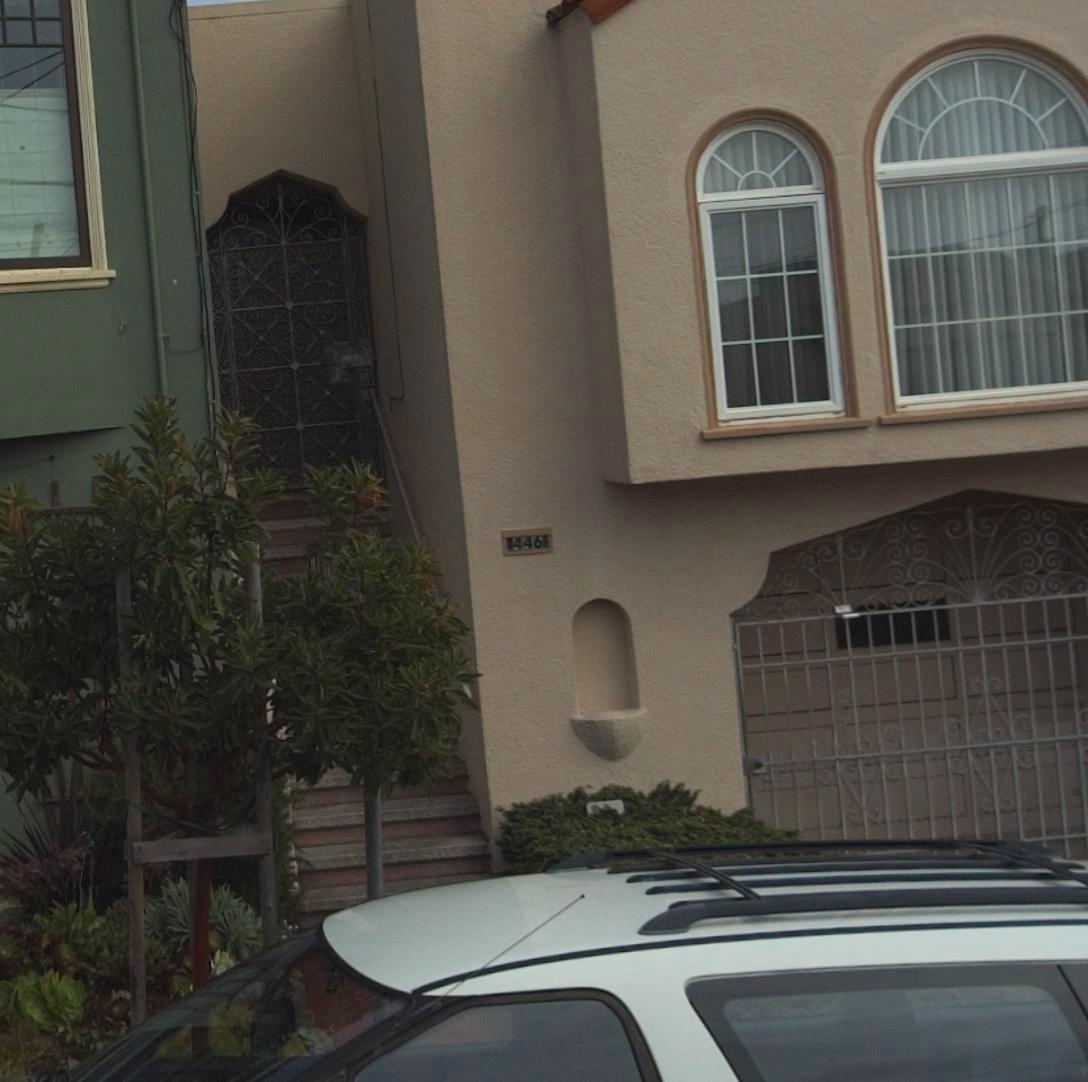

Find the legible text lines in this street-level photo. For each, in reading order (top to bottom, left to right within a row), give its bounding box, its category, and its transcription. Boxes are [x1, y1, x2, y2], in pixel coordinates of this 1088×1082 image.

[511, 535, 544, 551] StreetNumber: 446